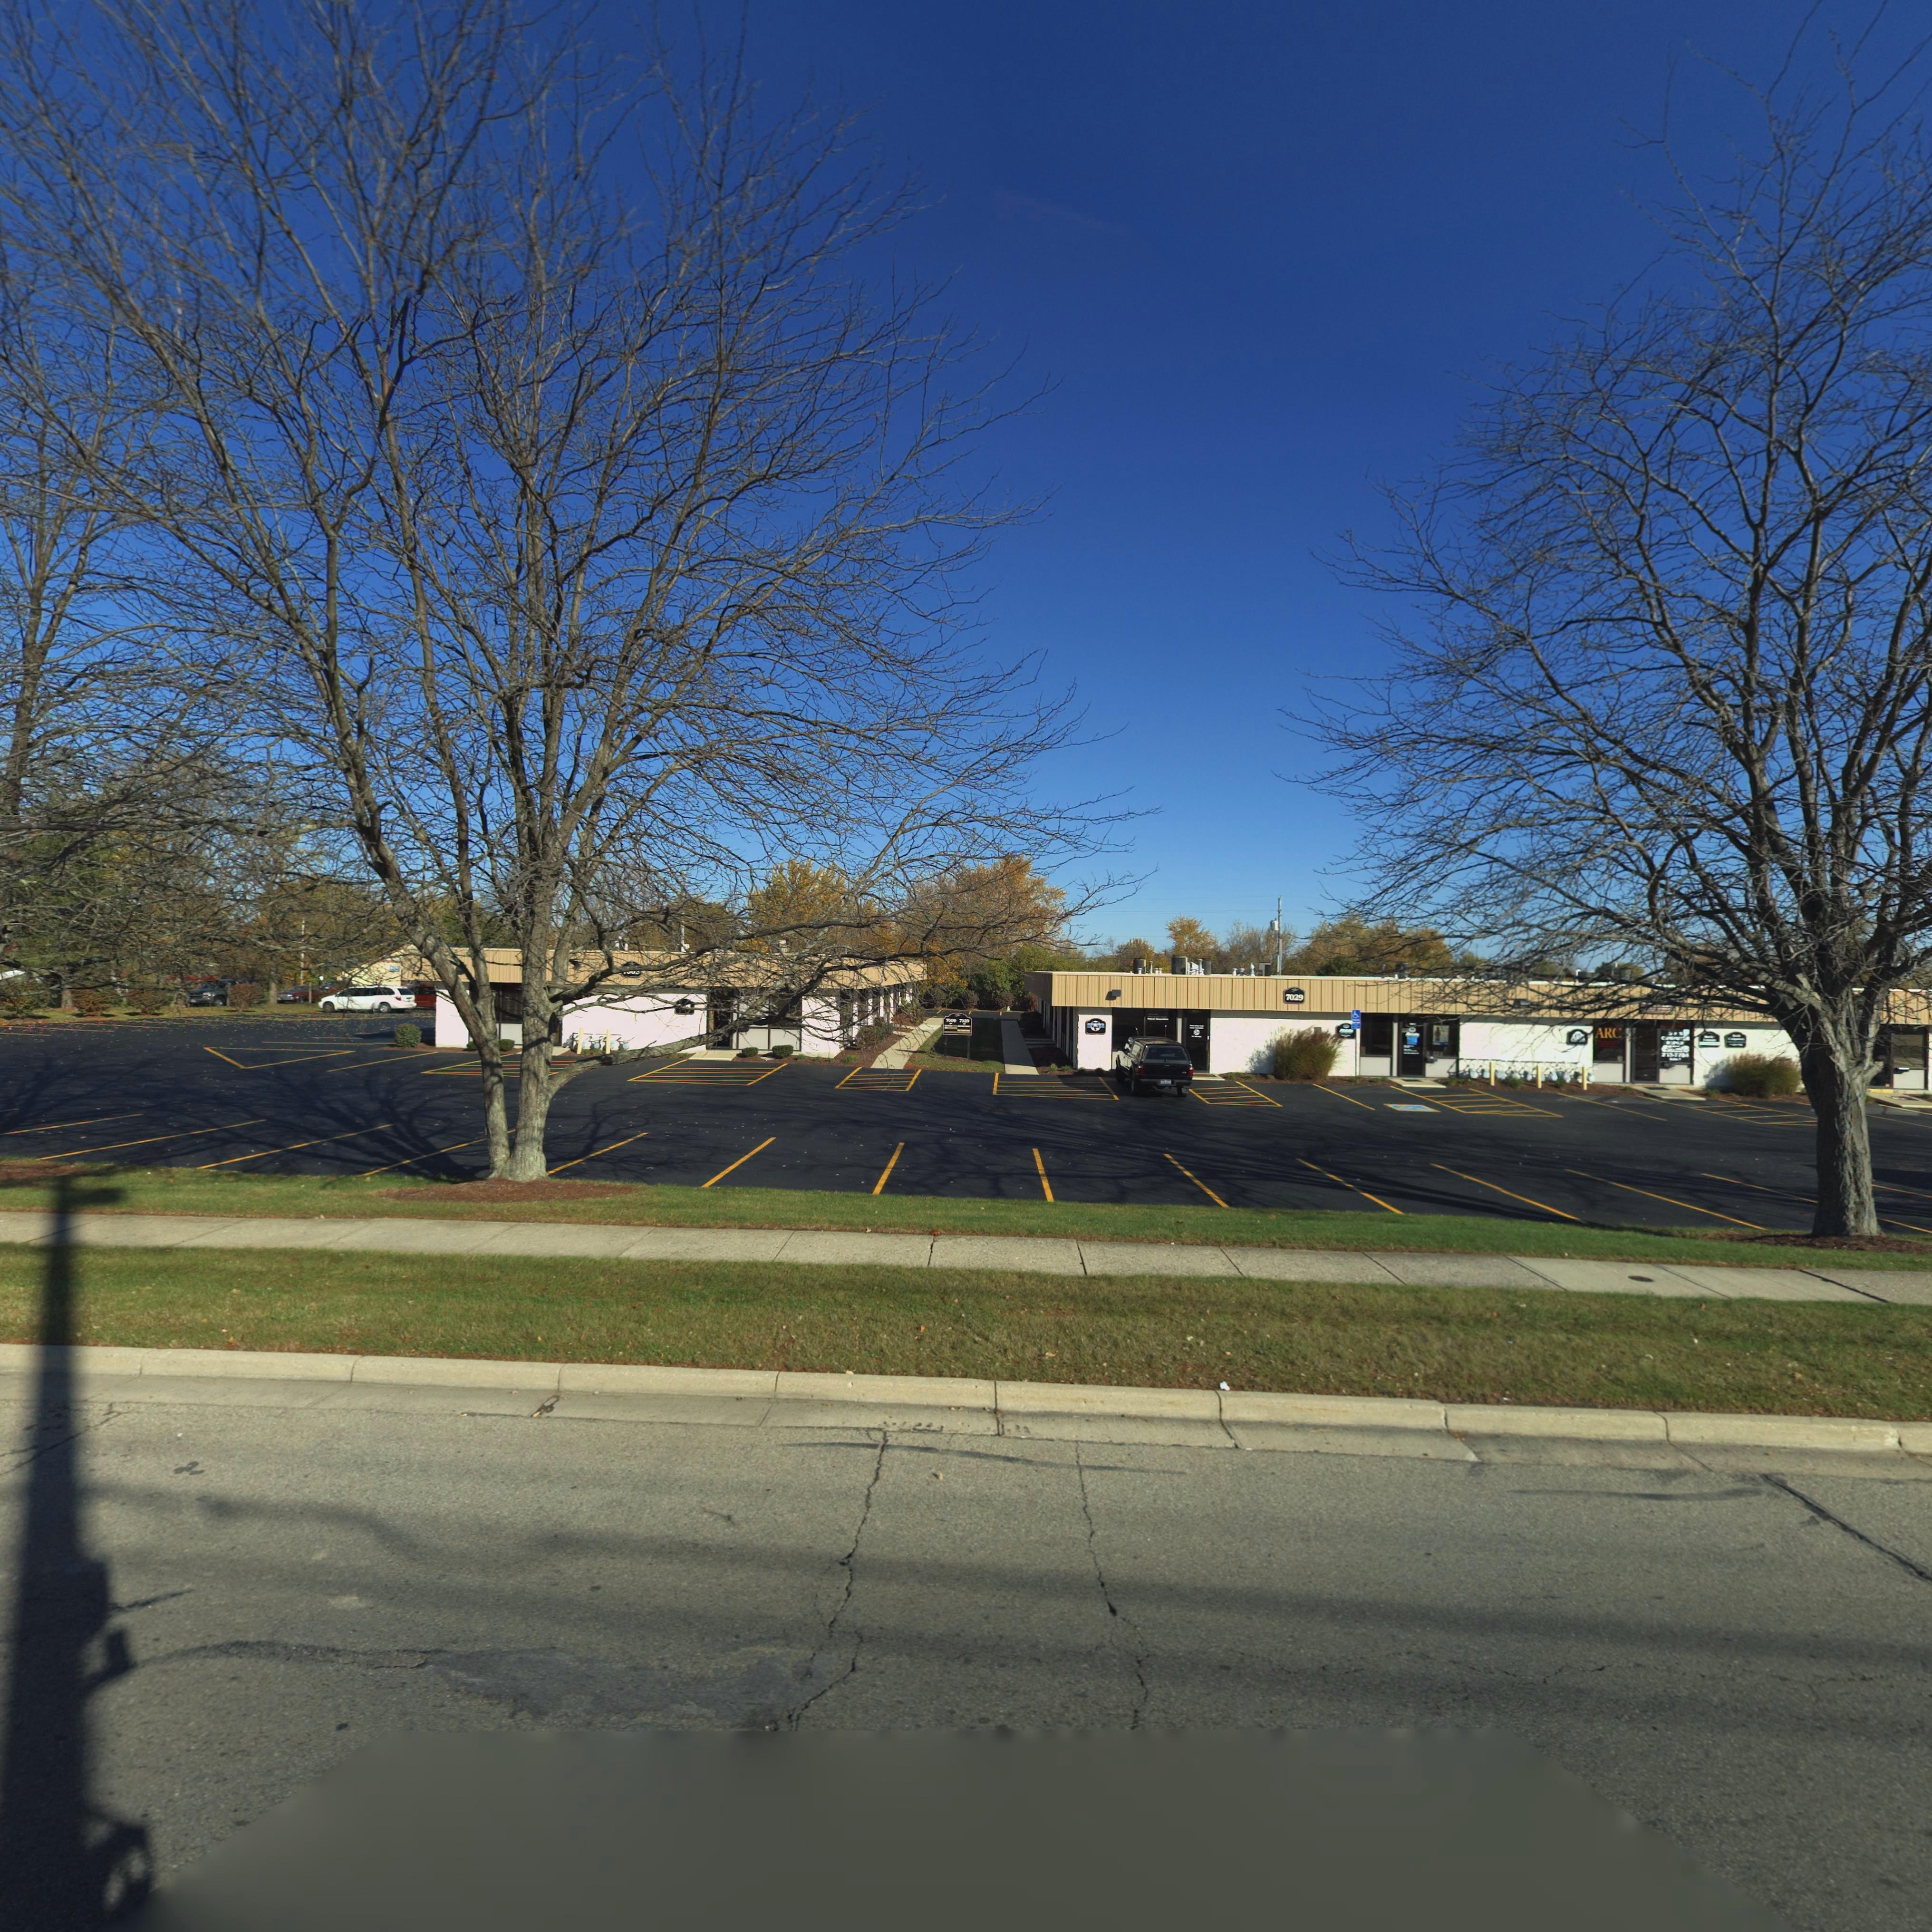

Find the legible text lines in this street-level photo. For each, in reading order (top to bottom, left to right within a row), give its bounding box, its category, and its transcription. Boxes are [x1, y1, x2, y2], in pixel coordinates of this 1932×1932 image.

[1285, 993, 1305, 1002] StreetNumber: 7029
[945, 1017, 957, 1024] StreetNumber: 7***
[958, 1018, 971, 1024] StreetNumber: 7***
[1593, 1027, 1623, 1039] BusinessName: ARC